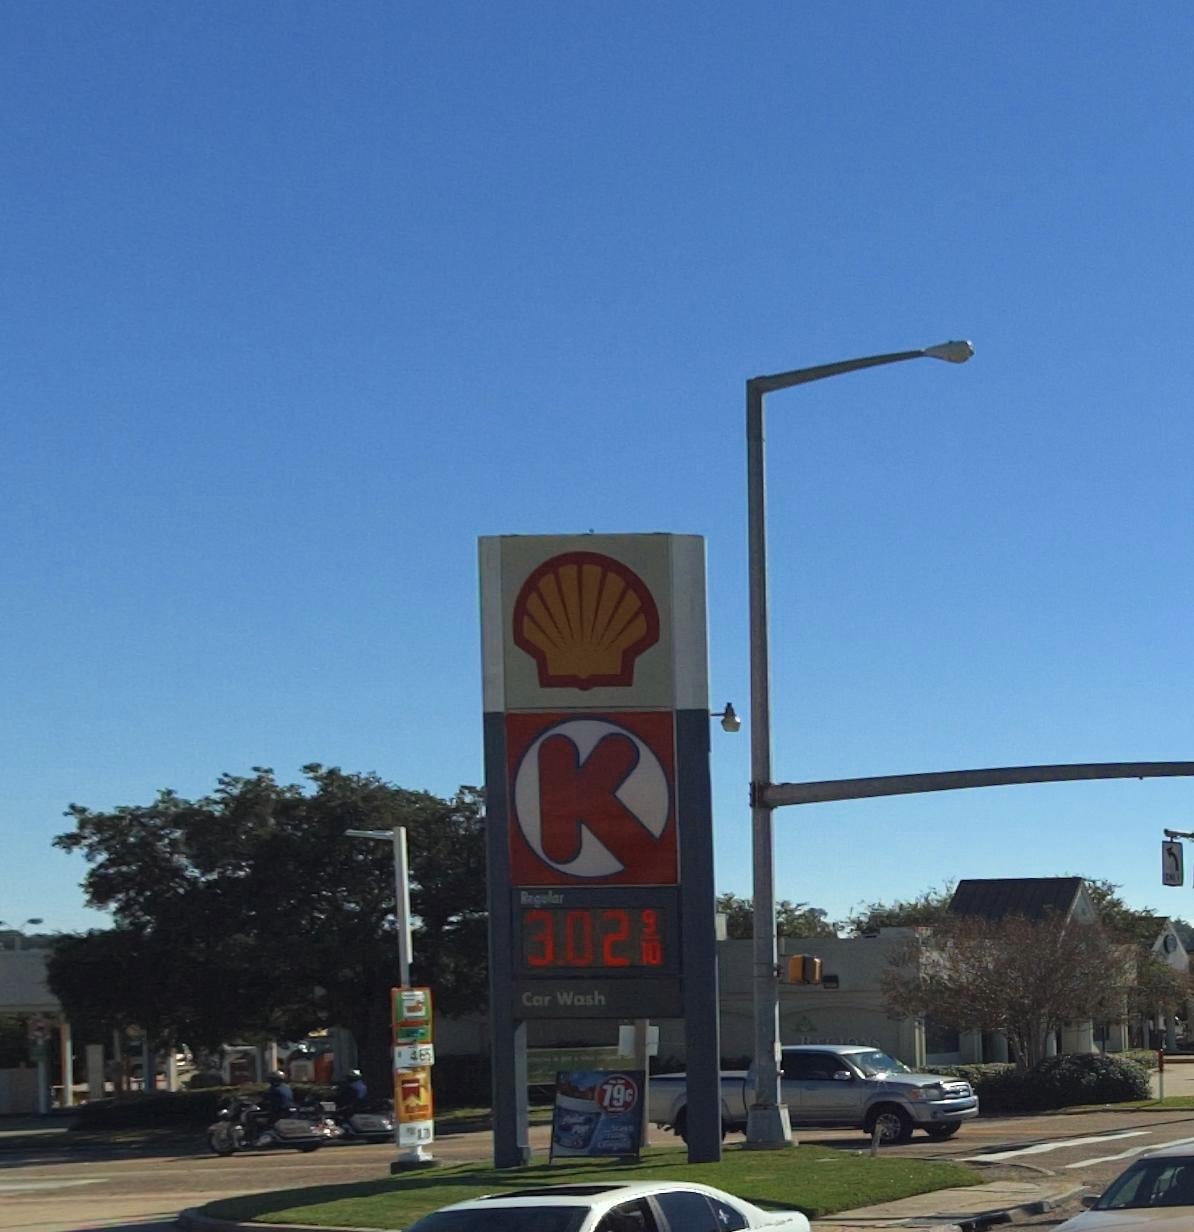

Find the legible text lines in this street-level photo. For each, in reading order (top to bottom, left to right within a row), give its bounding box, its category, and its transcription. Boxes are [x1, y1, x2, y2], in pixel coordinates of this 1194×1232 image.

[537, 730, 658, 867] BusinessName: K
[518, 888, 566, 911] None: Regular
[525, 908, 665, 969] None: 3.02 9/10
[520, 989, 606, 1007] None: Car Wash
[601, 1083, 626, 1108] None: 79